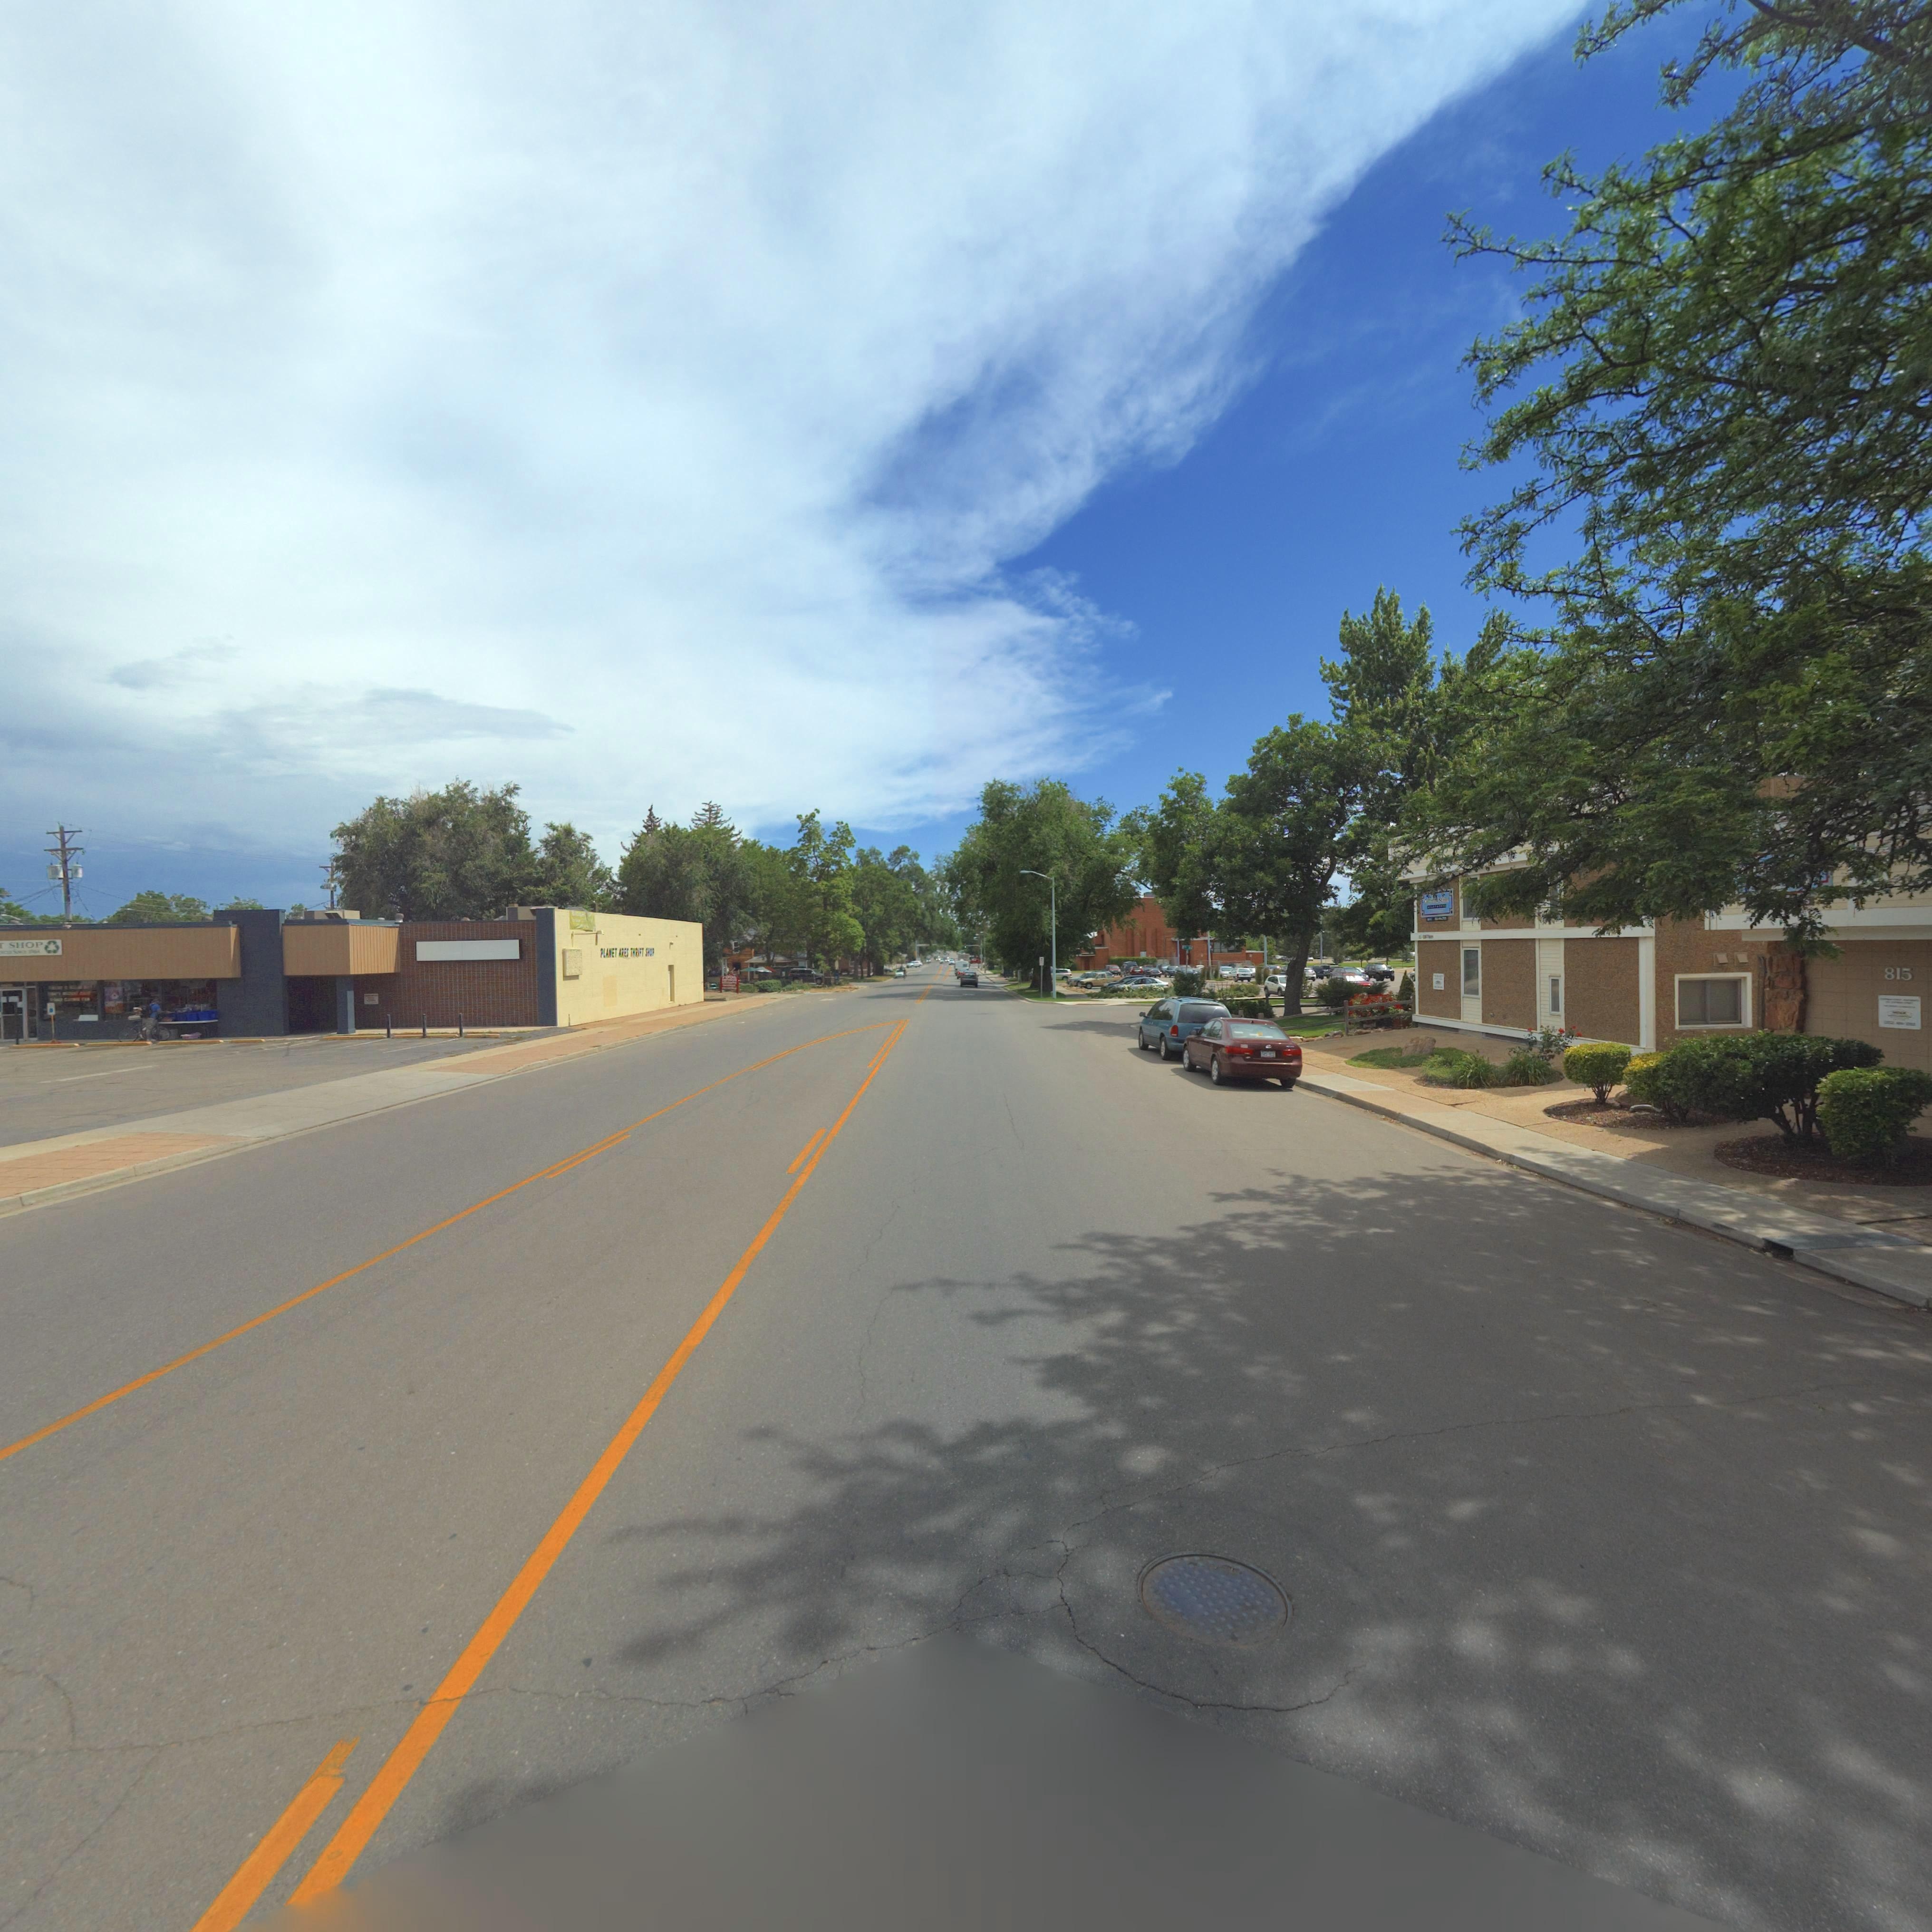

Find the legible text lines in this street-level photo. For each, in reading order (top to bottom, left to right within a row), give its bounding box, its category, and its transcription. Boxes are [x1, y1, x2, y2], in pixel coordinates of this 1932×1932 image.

[1, 942, 42, 948] BusinessName: ***** SHOP
[599, 947, 655, 958] BusinessName: PLANET ARES THRIFT SHOP
[1885, 967, 1913, 980] StreetNumber: 815